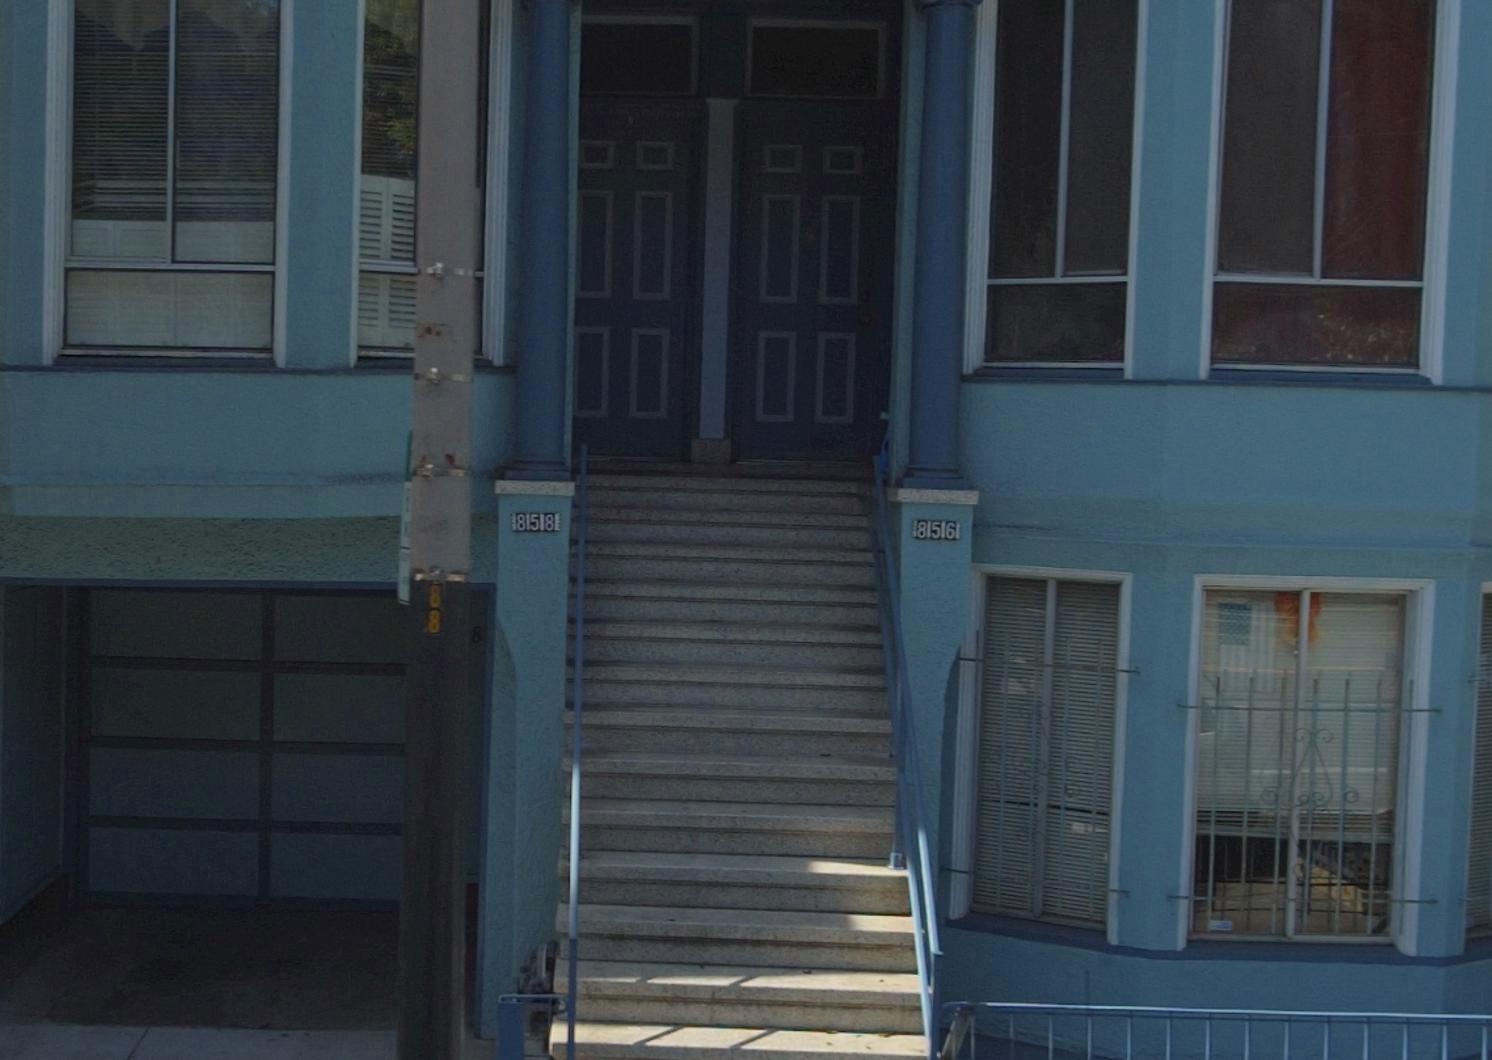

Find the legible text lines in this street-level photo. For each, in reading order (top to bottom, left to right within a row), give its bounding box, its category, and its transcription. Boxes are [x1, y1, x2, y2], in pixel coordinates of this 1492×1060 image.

[516, 512, 554, 531] StreetNumber: 858
[916, 520, 958, 540] StreetNumber: 856
[426, 582, 440, 634] None: 88
[470, 623, 482, 643] None: 8